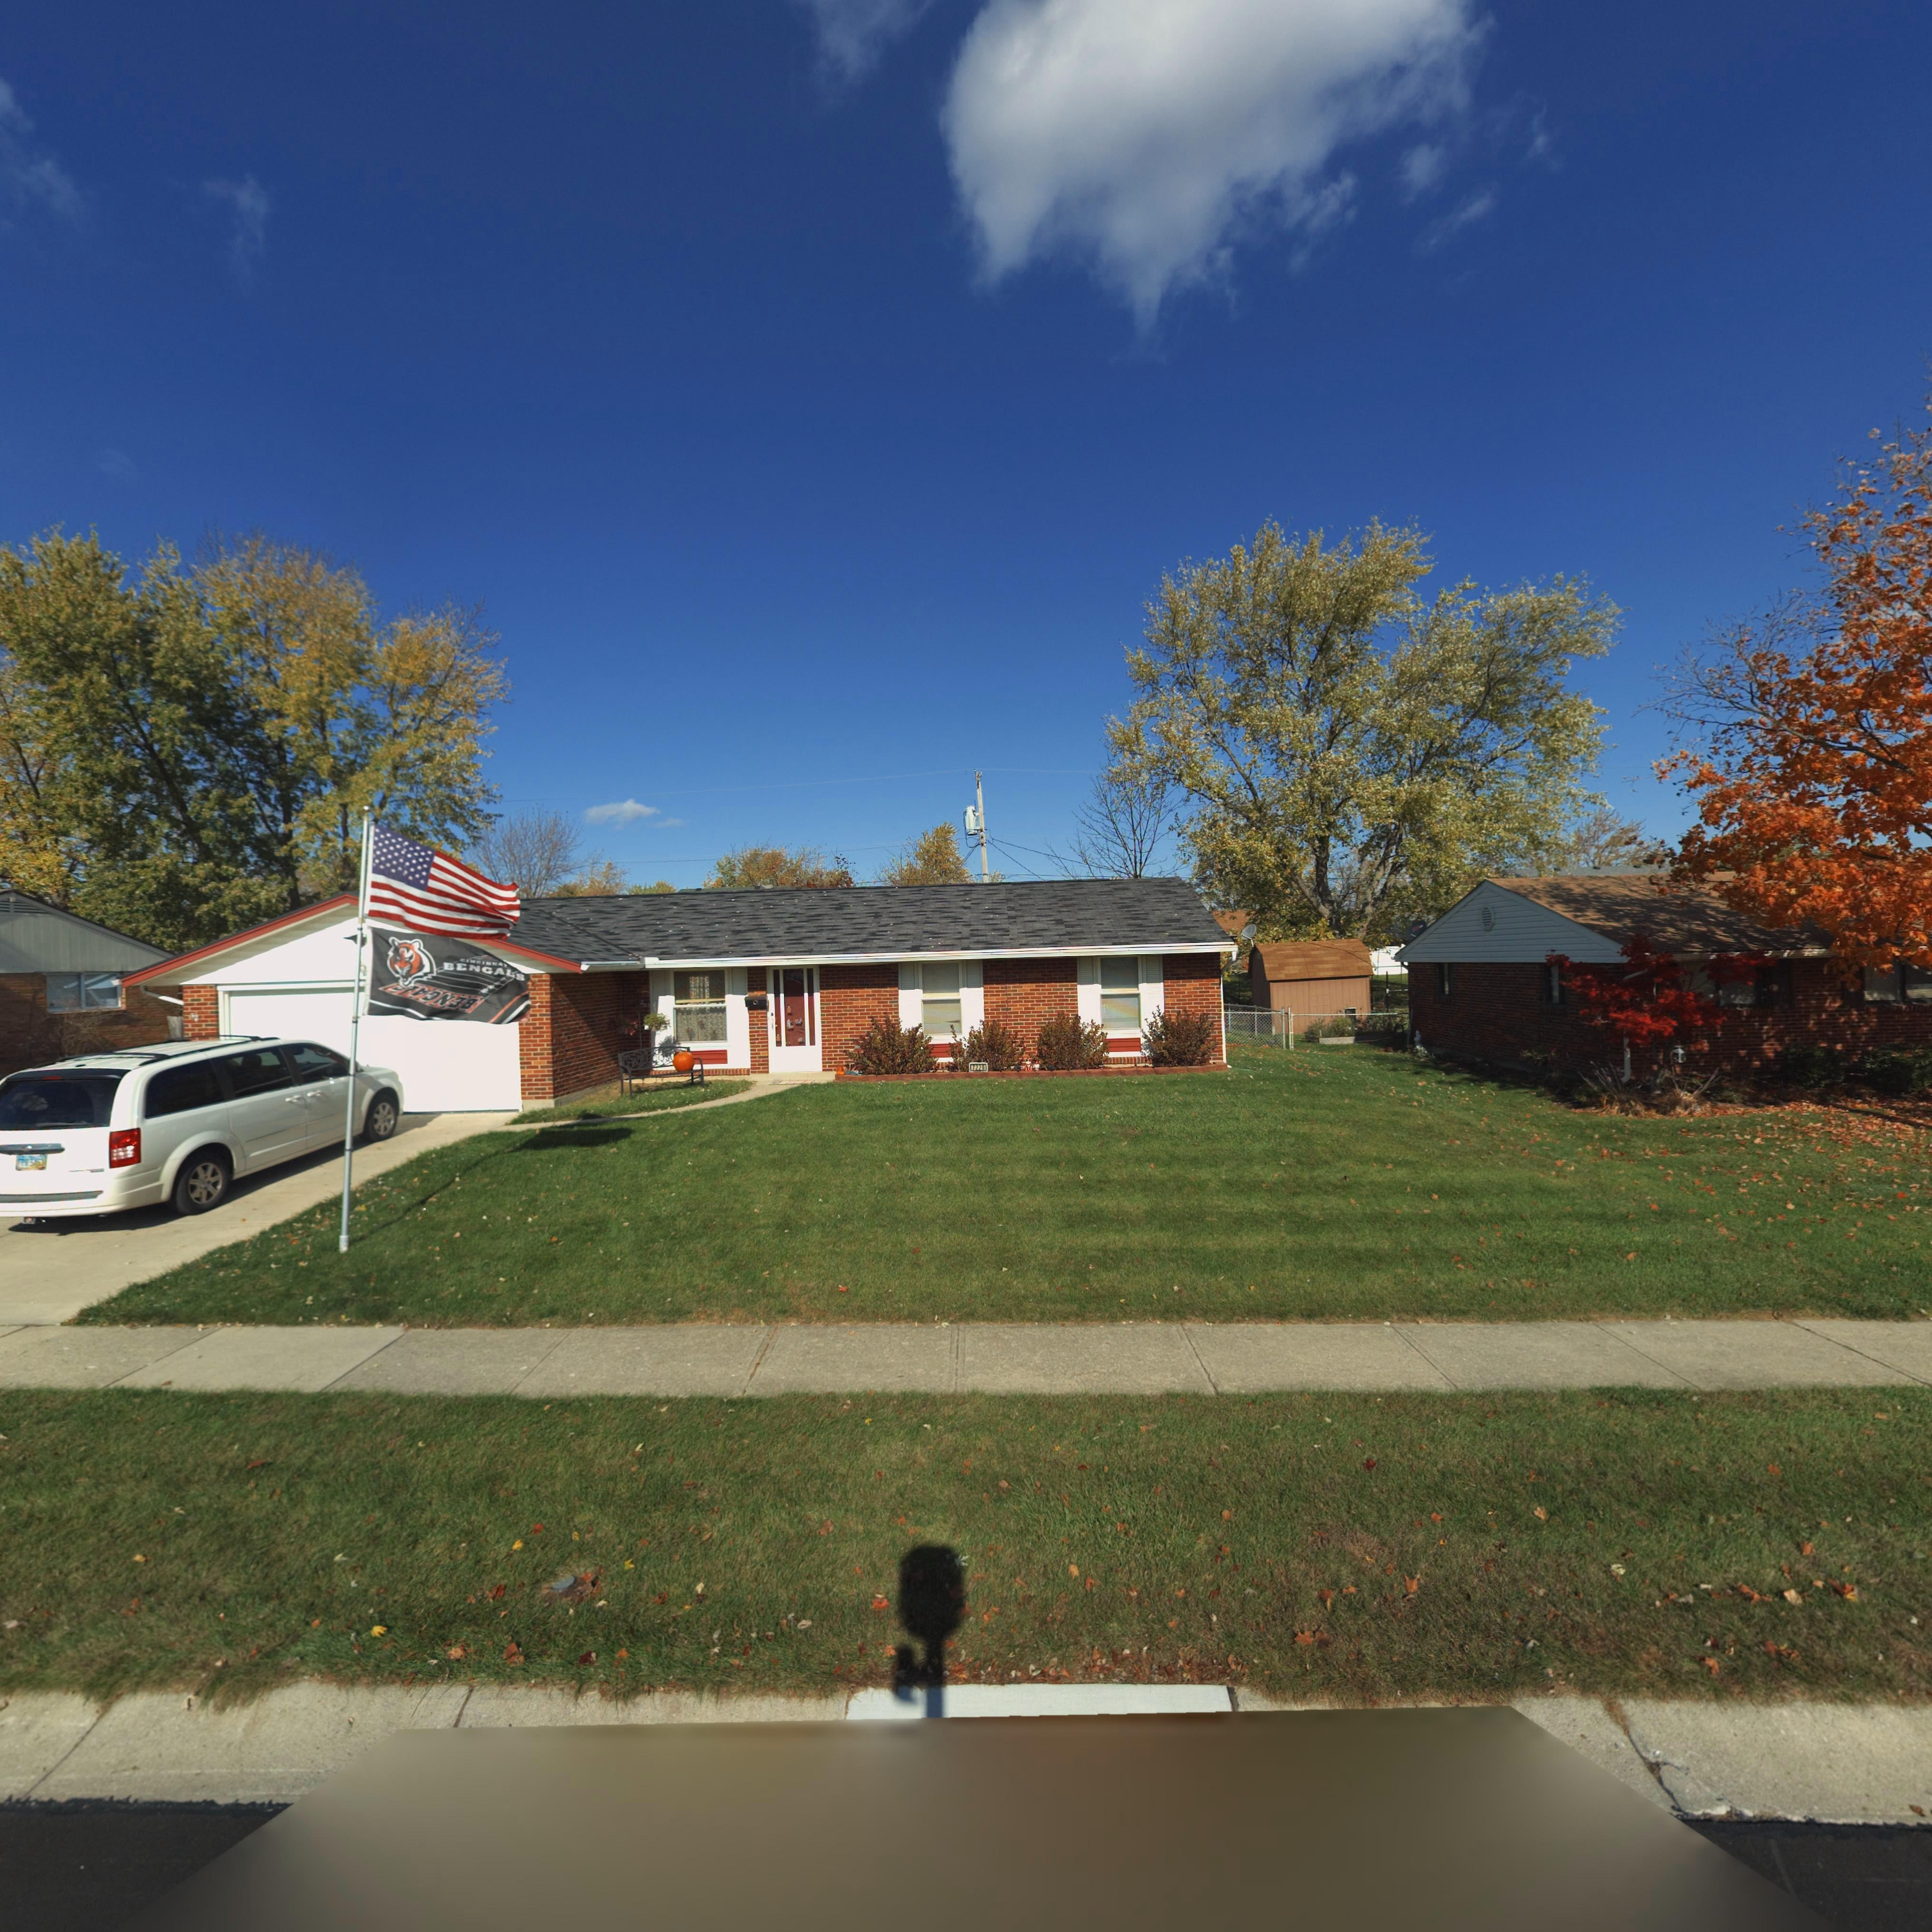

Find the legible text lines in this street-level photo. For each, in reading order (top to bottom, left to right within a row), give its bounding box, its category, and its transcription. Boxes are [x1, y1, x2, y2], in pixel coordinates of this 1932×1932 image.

[971, 1063, 985, 1072] StreetNumber: 7229